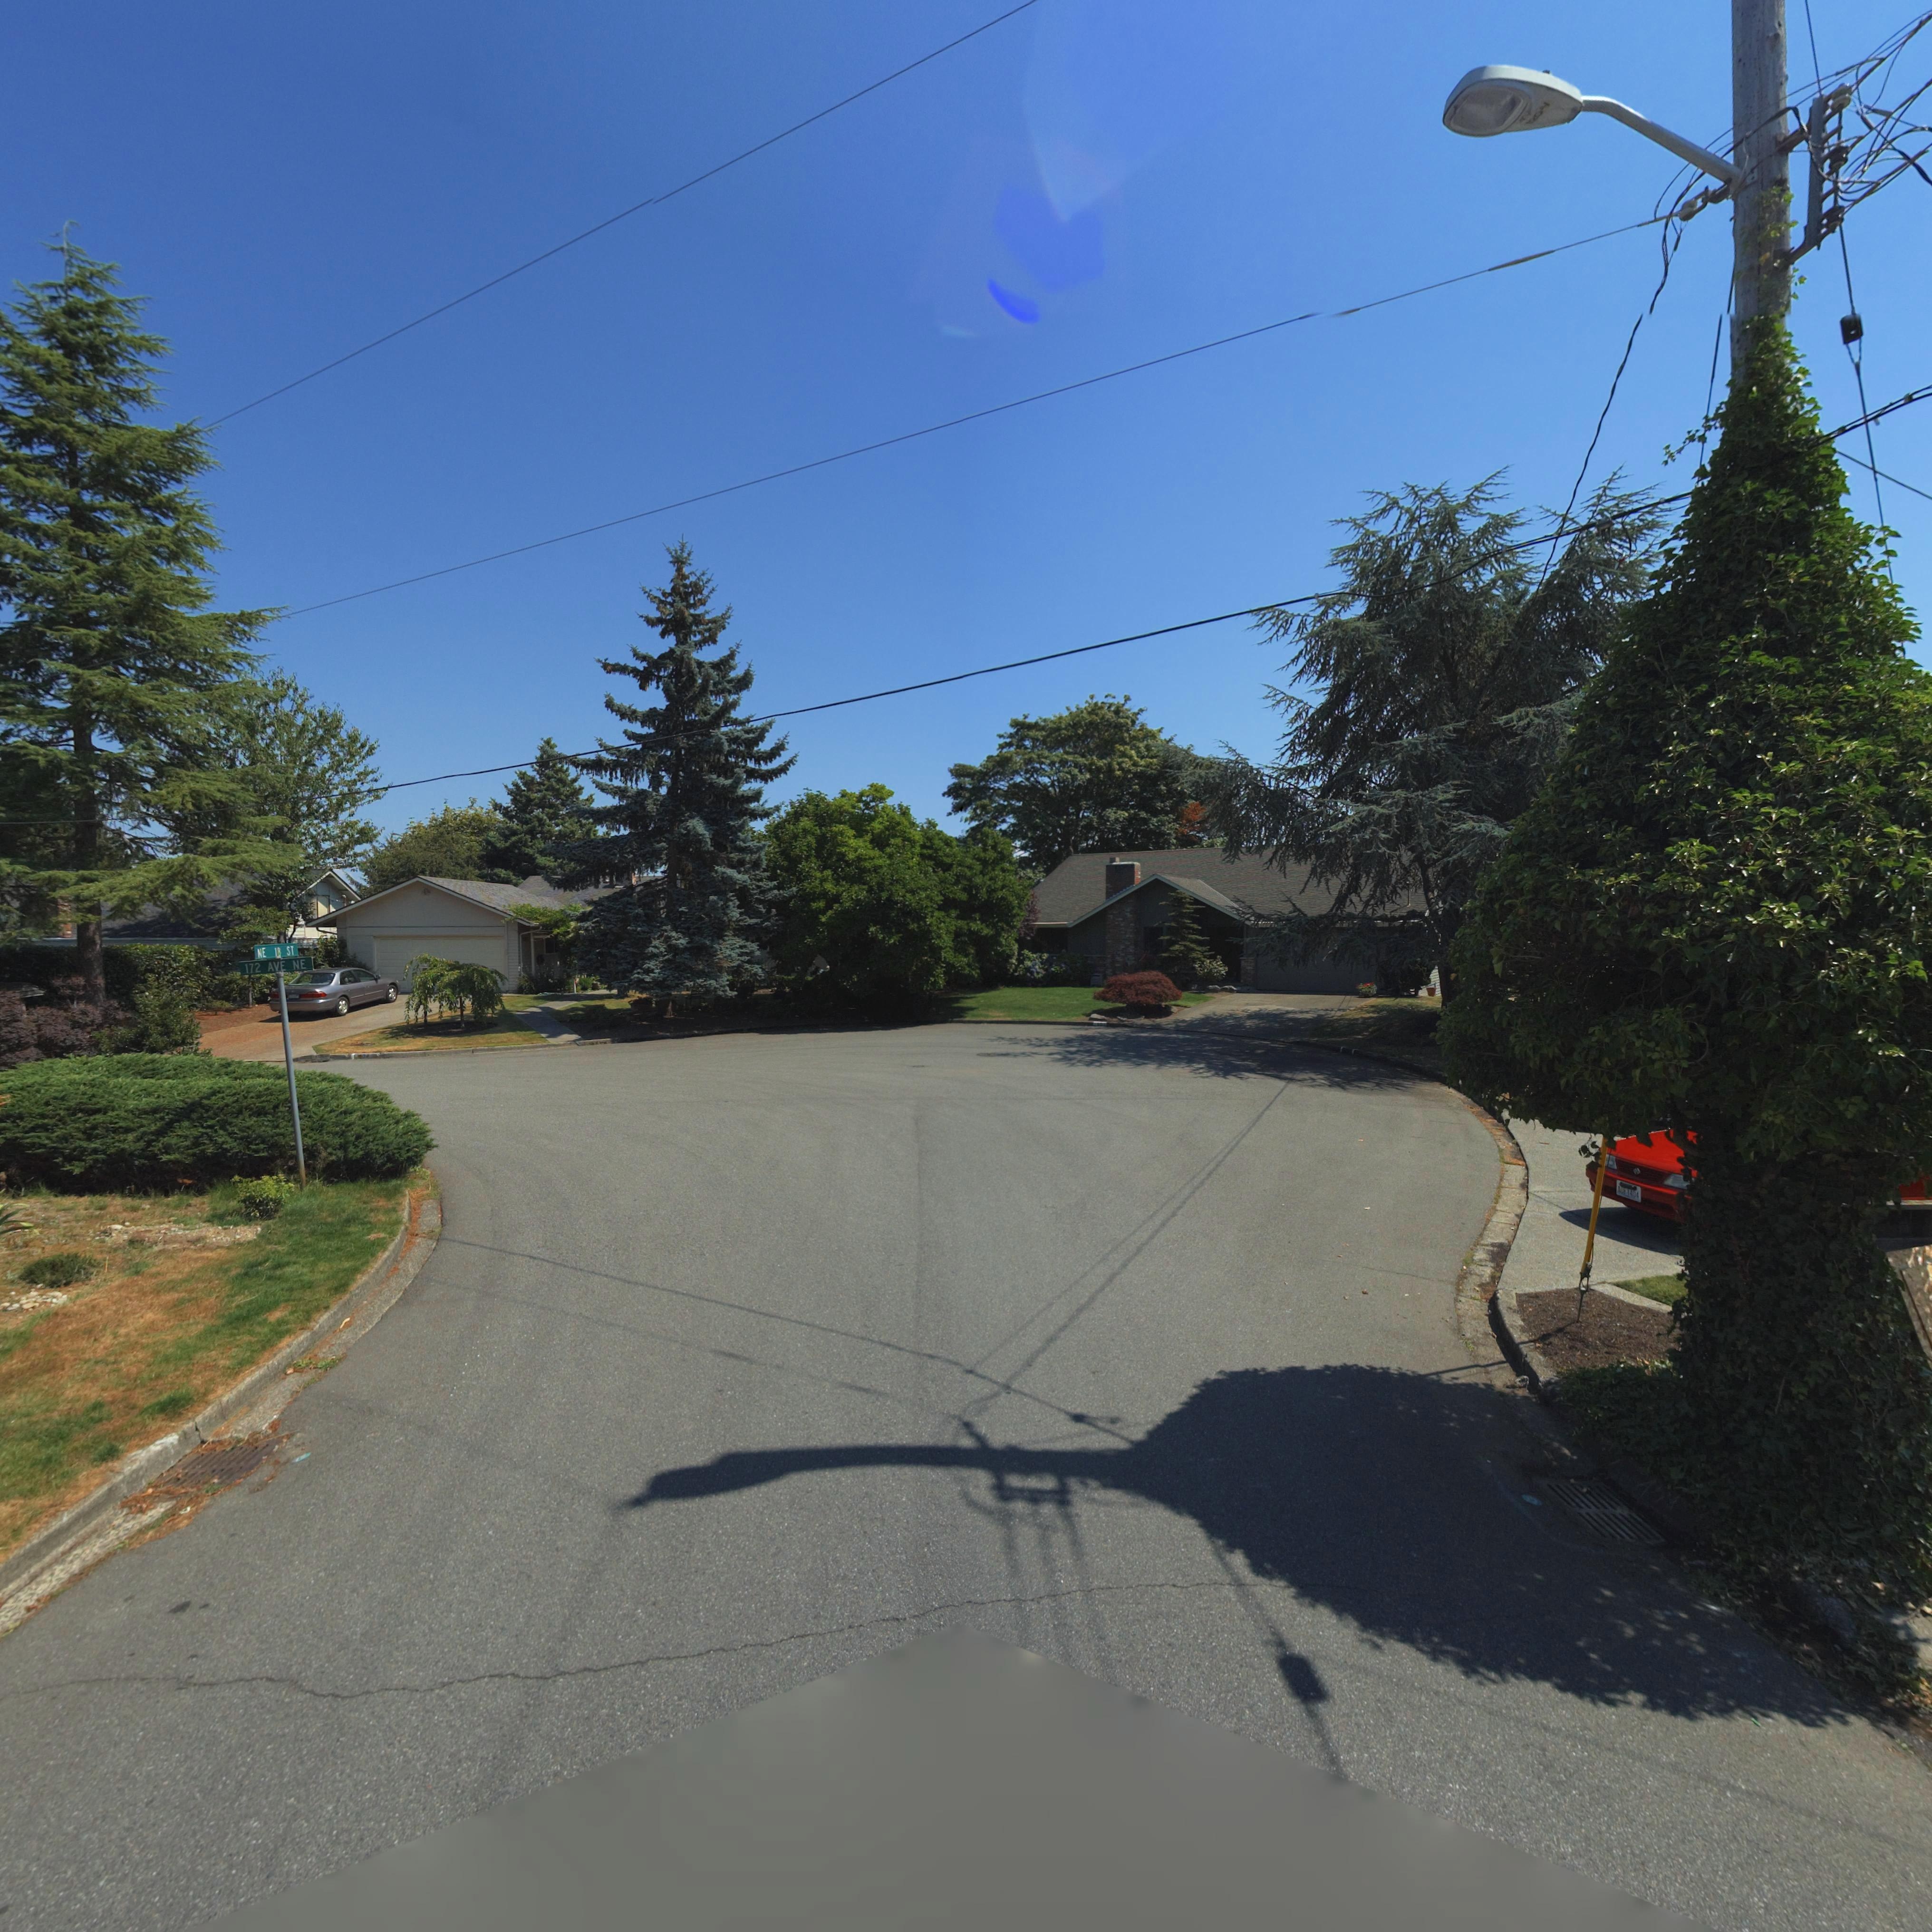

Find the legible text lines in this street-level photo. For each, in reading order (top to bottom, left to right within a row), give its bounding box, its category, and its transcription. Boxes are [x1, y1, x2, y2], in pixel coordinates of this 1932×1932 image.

[256, 945, 294, 958] StreetName: NE 18 ST
[245, 959, 308, 973] StreetName: 172 AVE NE